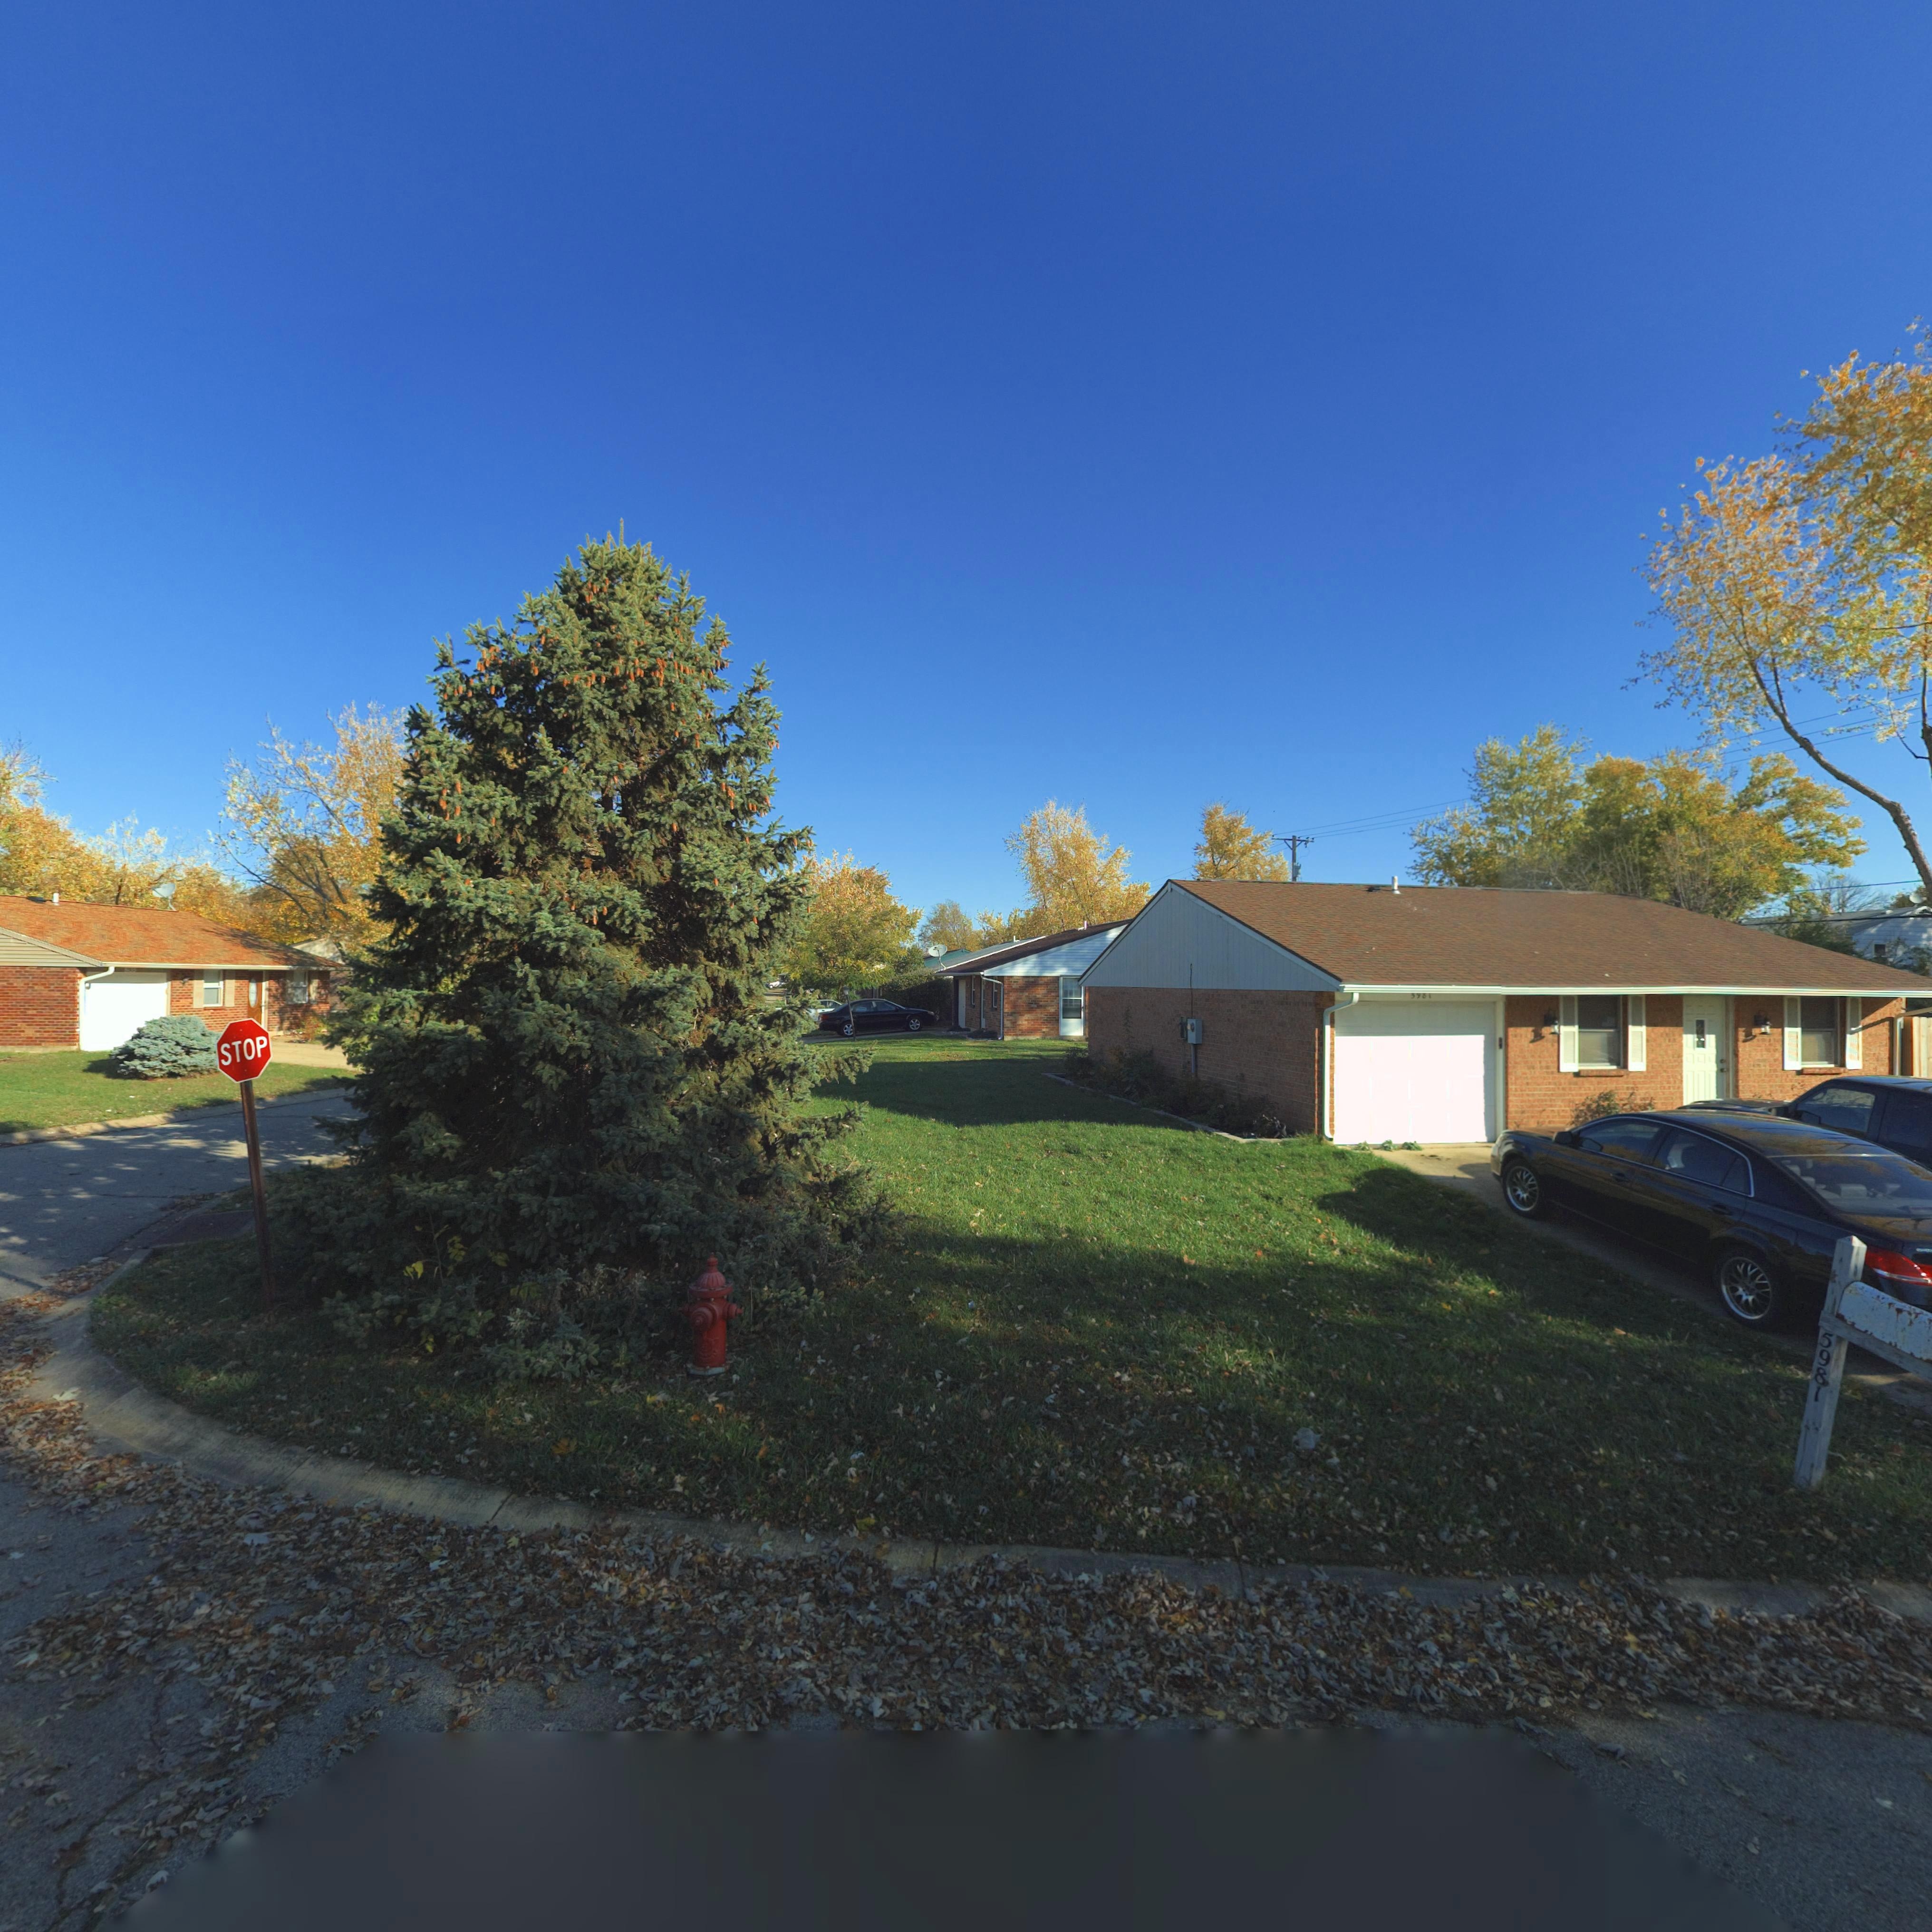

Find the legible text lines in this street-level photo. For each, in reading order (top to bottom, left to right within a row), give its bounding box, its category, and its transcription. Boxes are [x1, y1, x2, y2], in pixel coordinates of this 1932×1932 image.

[1812, 1330, 1835, 1405] StreetNumber: 5981